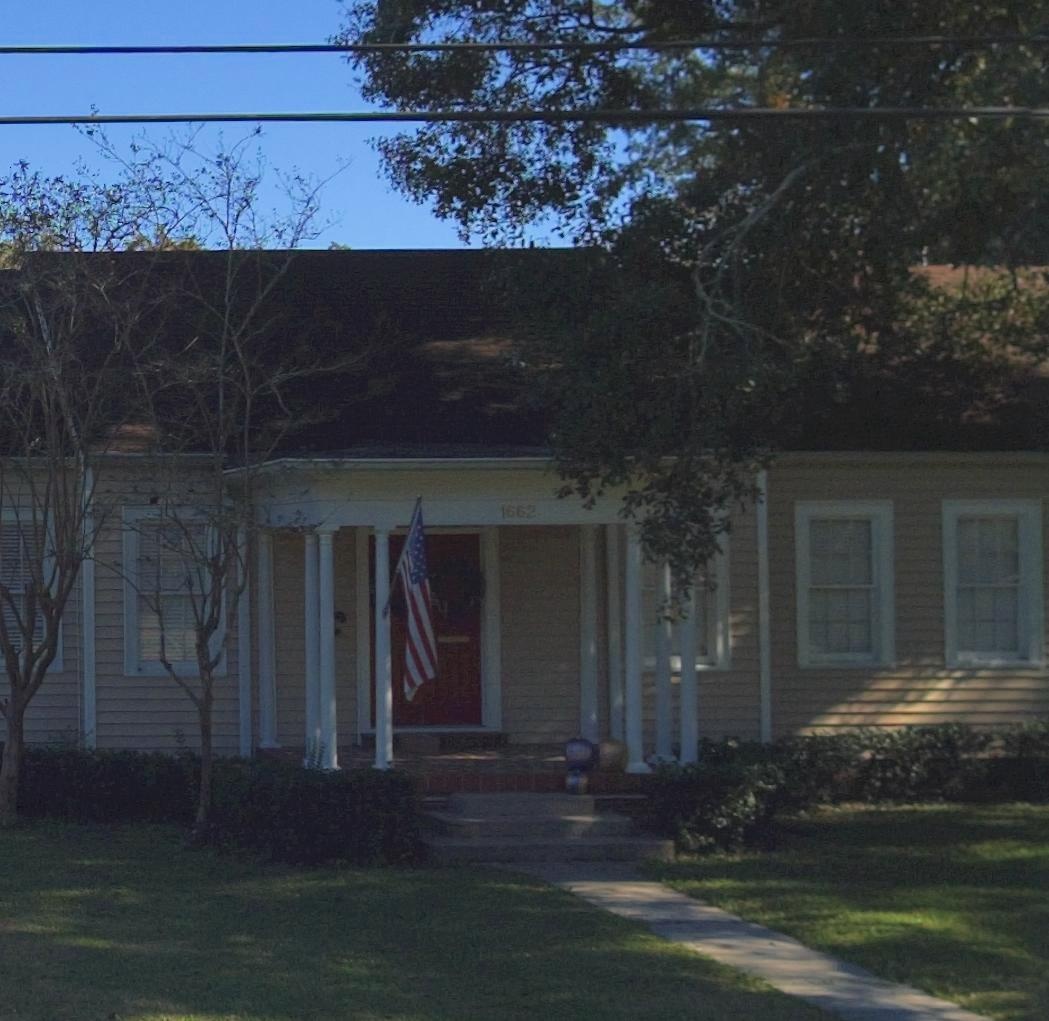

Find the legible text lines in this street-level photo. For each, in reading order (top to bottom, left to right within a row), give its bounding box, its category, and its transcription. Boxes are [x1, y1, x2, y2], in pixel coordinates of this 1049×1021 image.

[499, 501, 539, 521] StreetNumber: 1662